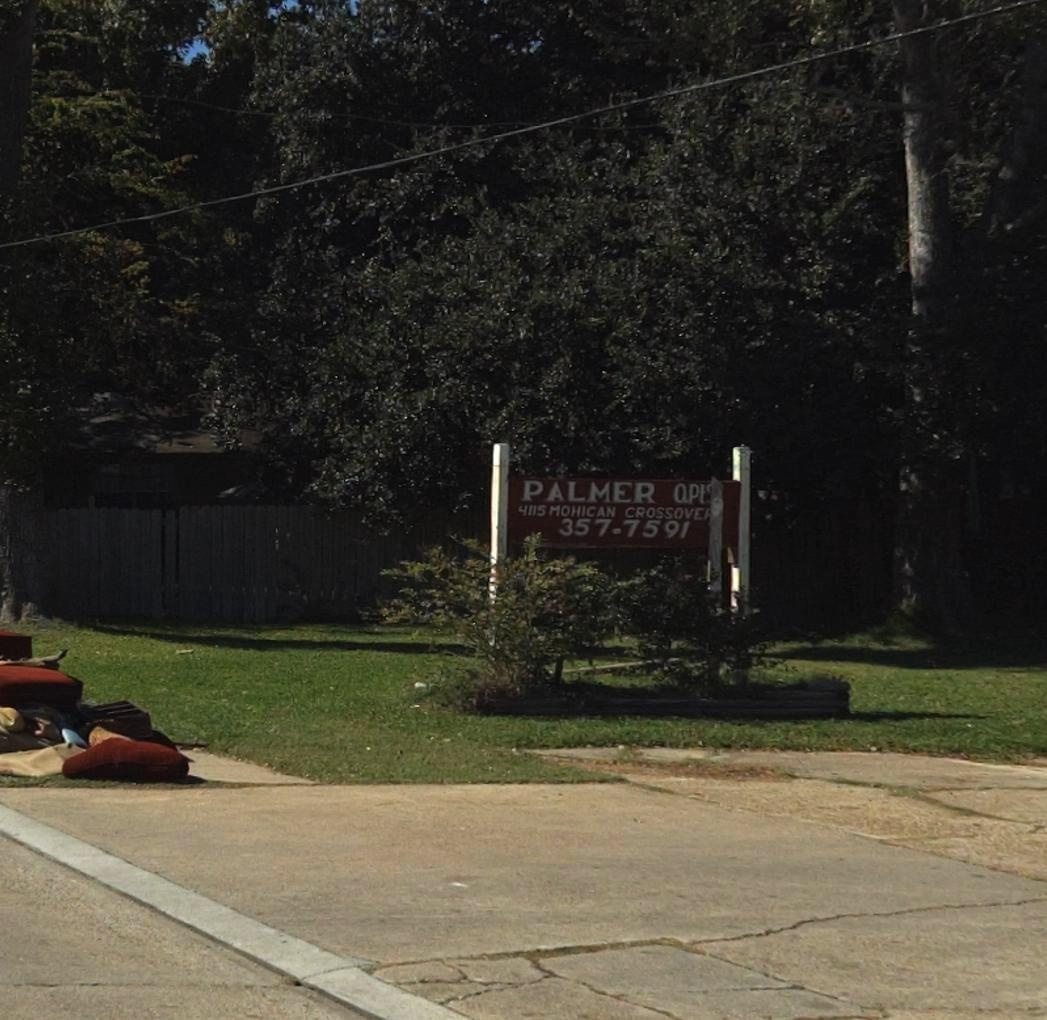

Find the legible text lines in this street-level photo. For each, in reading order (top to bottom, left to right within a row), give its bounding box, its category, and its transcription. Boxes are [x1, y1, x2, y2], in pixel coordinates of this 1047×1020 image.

[521, 479, 658, 504] BusinessName: PALMER
[672, 481, 700, 505] BusinessName: aP
[517, 504, 548, 517] StreetNumber: 4115
[548, 503, 707, 521] StreetName: MOHICAN CROSSOVE
[555, 516, 694, 541] None: 357-7591